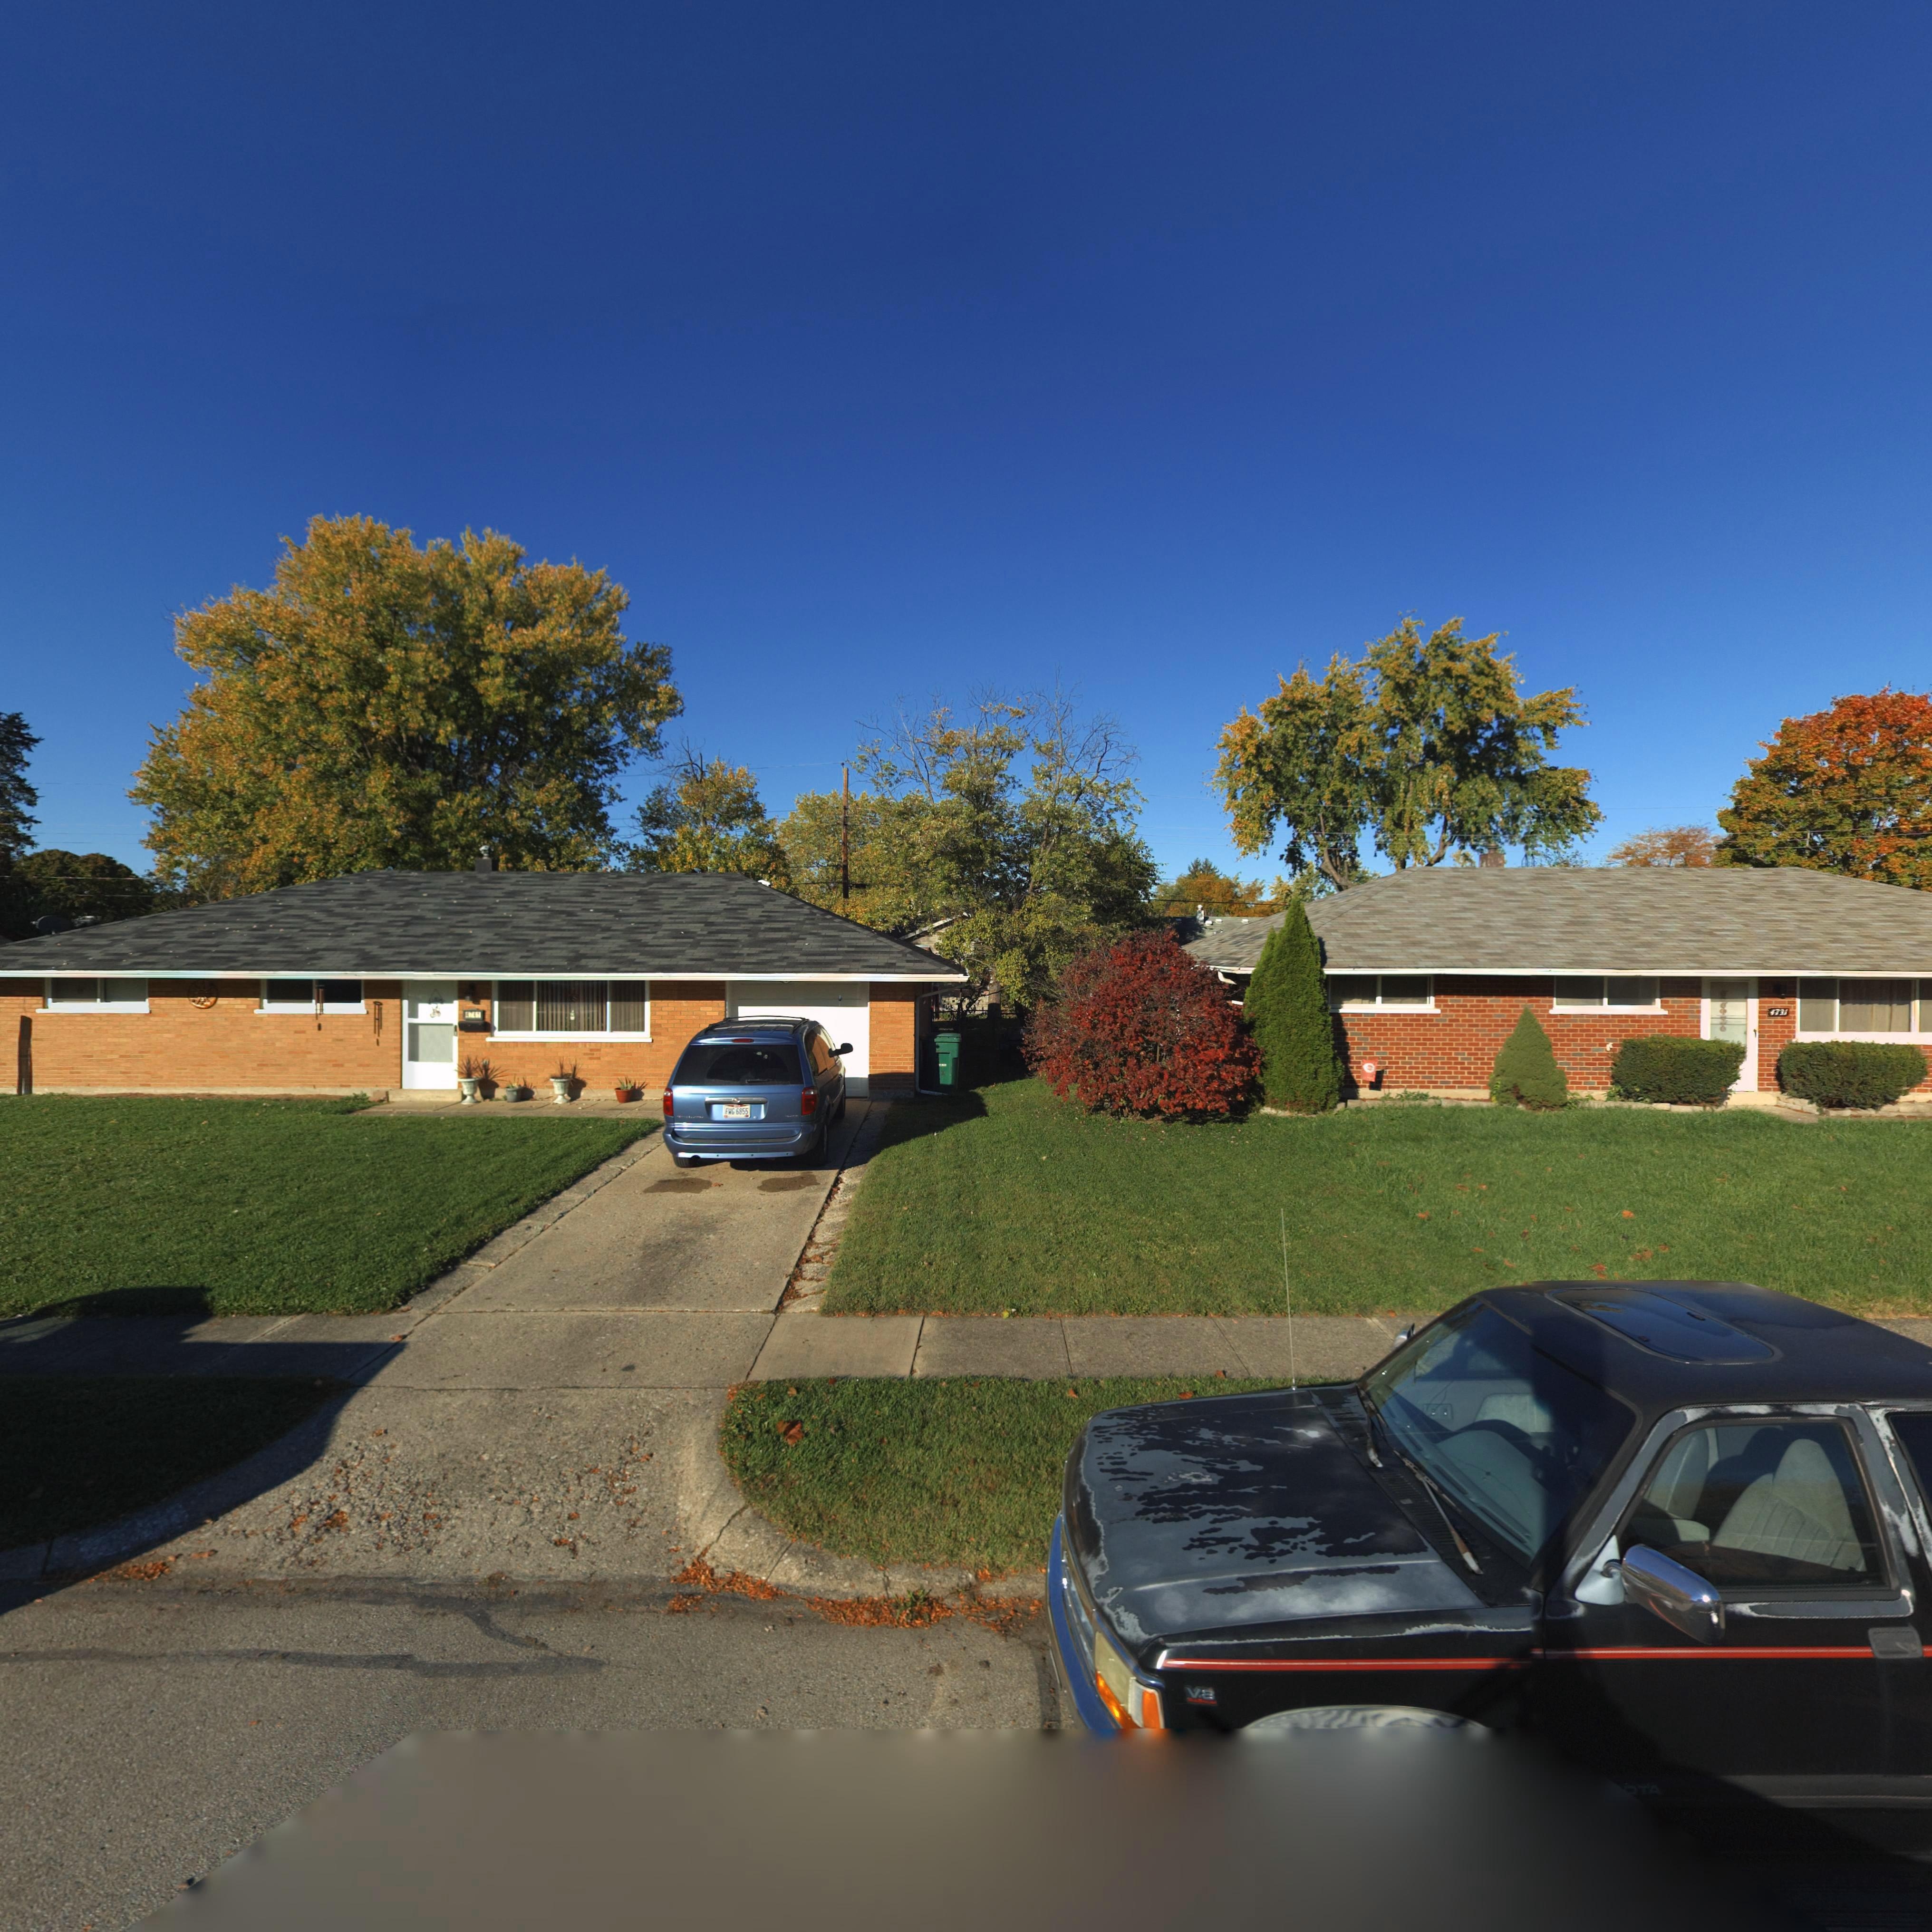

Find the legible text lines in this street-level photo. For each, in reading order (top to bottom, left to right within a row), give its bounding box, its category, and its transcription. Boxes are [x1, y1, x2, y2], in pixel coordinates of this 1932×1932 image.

[465, 1011, 480, 1018] StreetNumber: 4741
[1769, 1008, 1788, 1015] StreetNumber: 4731